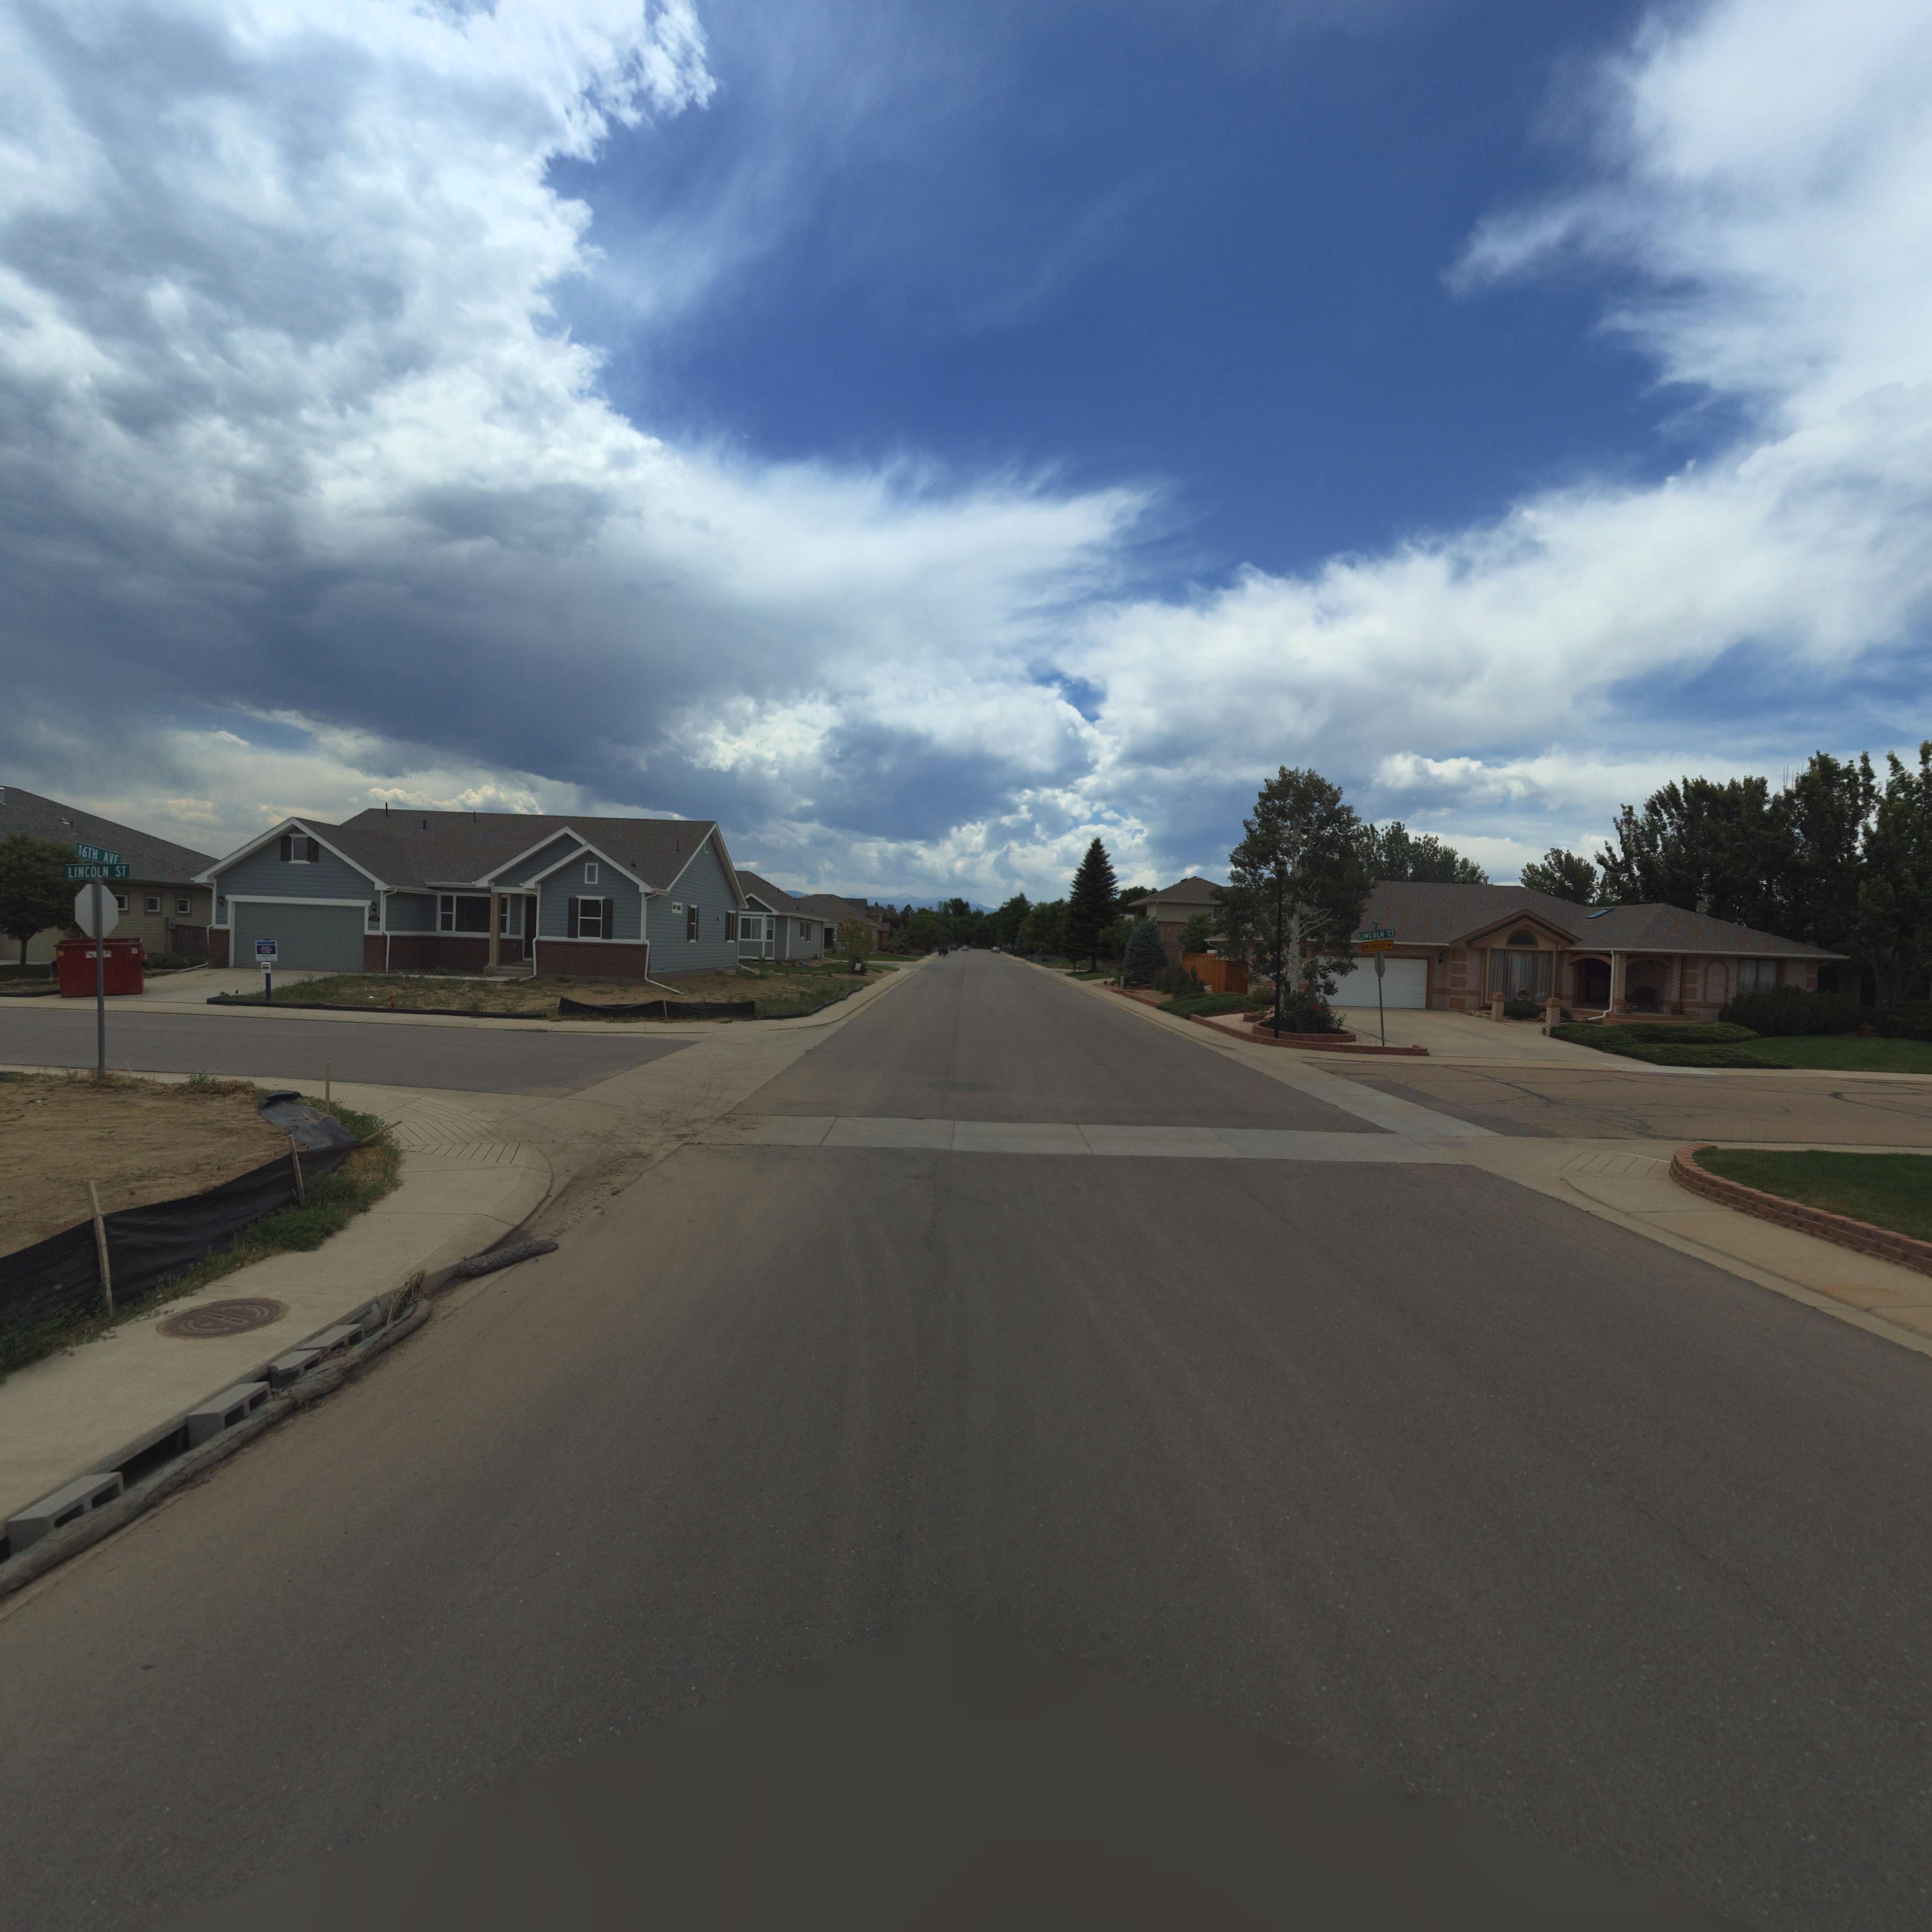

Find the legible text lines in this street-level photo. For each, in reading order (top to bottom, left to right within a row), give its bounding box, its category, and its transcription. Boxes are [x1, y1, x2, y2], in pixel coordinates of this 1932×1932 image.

[78, 844, 119, 865] StreetName: 16TH AVE
[68, 865, 126, 878] StreetName: LINCOLN ST
[1358, 929, 1394, 939] StreetName: LINCOLN CT